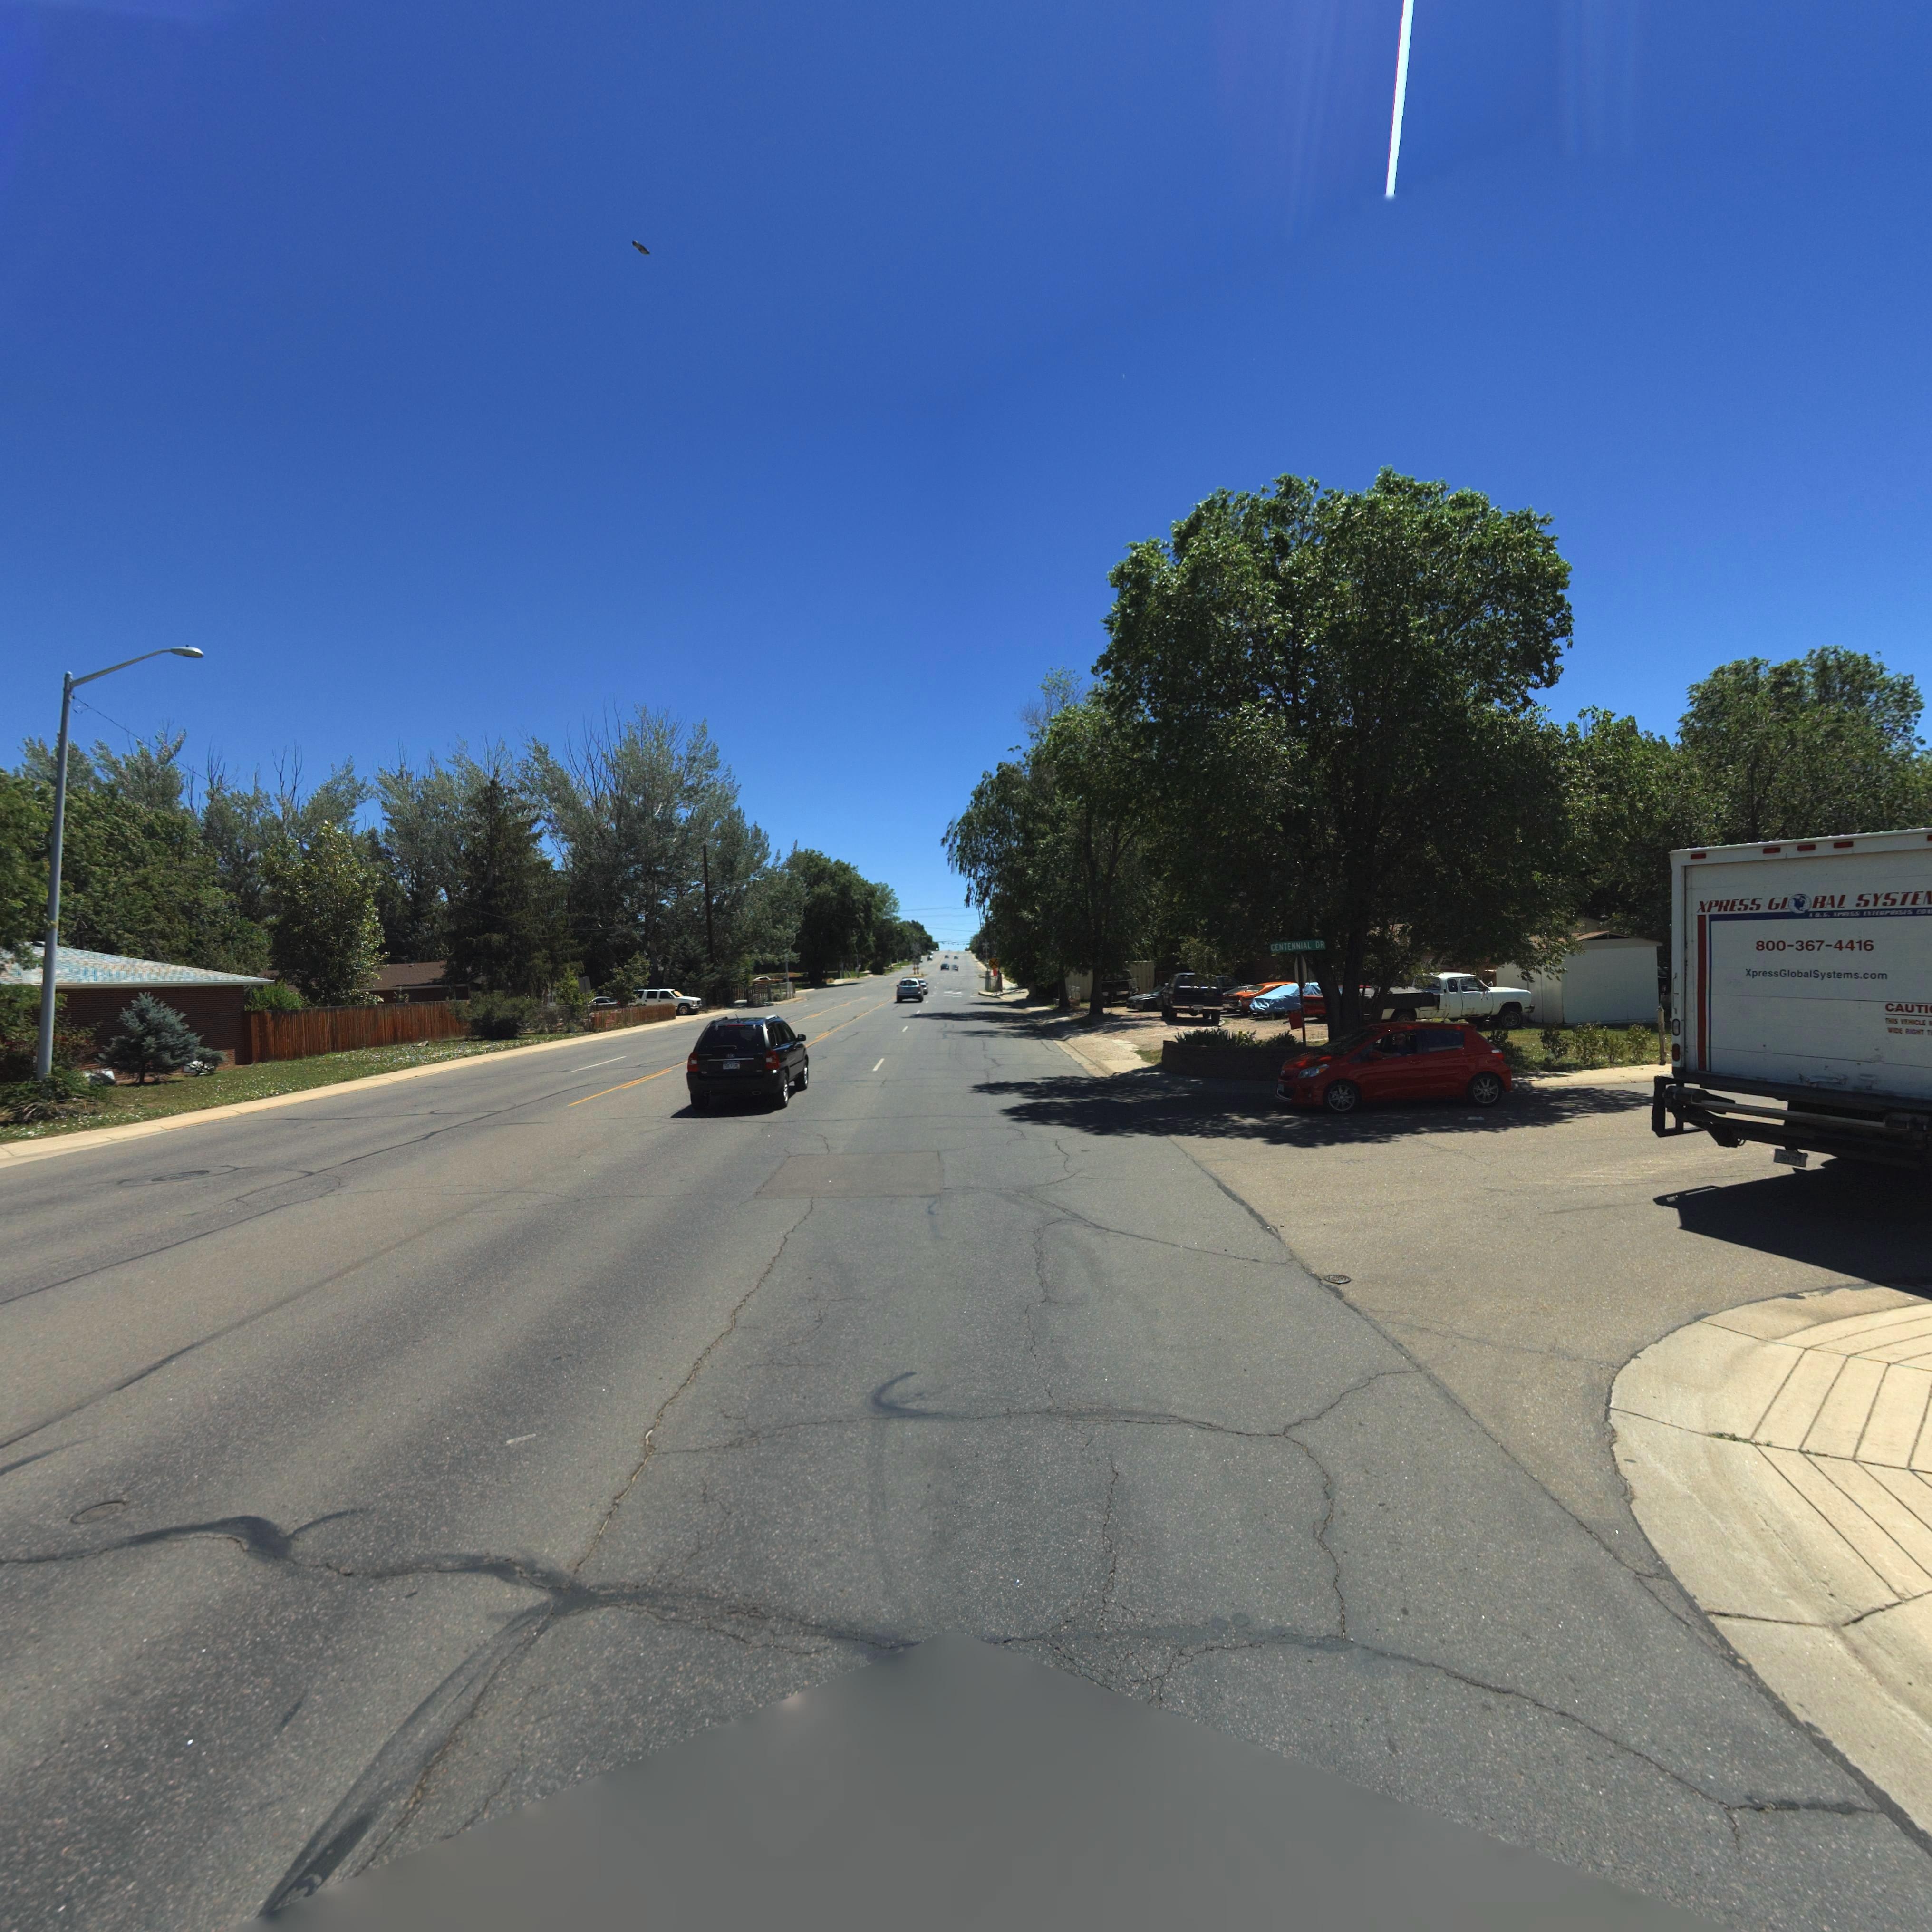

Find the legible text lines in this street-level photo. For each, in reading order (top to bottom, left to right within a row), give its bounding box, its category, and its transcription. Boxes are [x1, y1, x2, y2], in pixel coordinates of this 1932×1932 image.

[1270, 940, 1324, 951] StreetName: CENTENNIAL DR